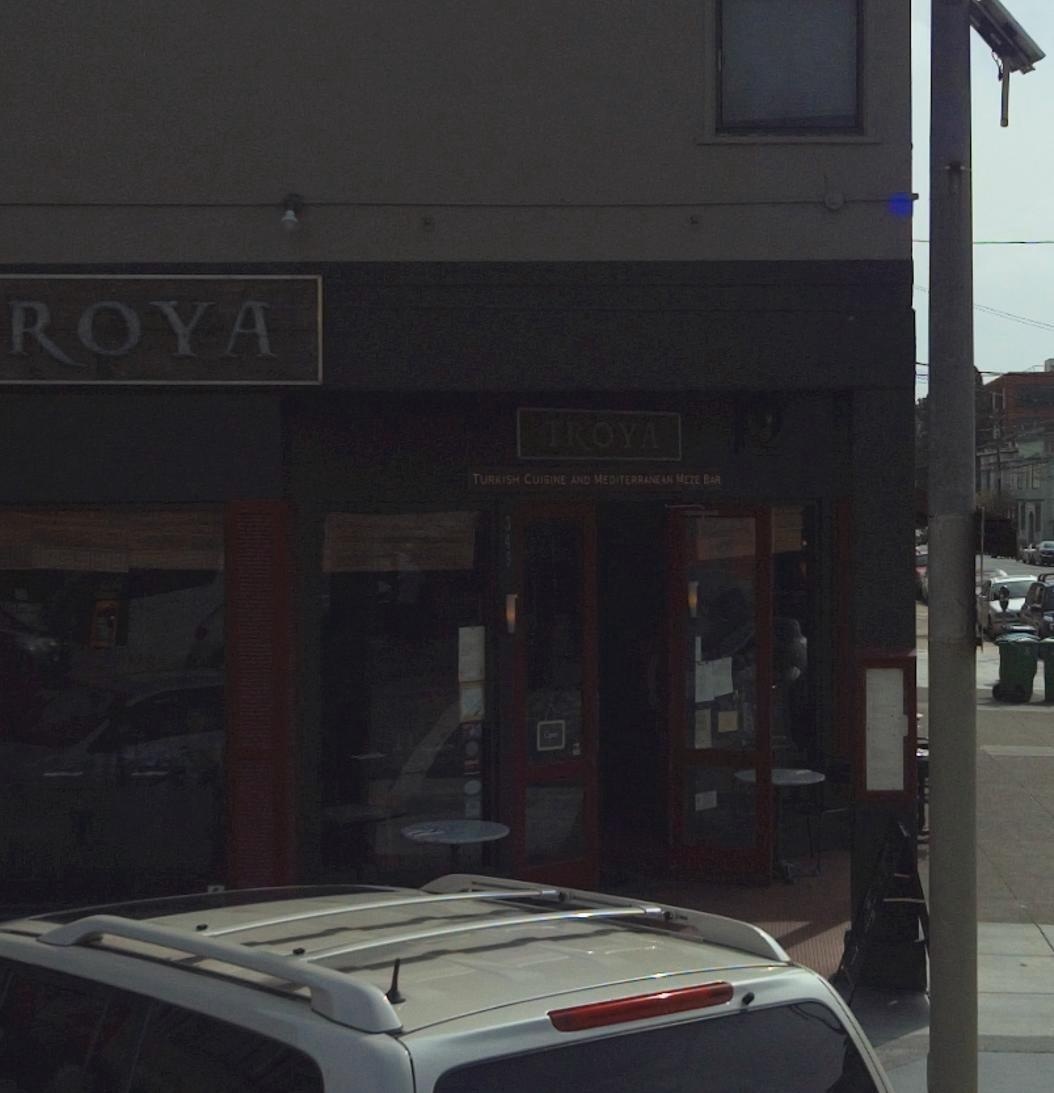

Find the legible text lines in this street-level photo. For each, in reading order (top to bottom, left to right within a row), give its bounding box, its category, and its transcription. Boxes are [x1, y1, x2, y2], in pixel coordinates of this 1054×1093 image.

[2, 298, 280, 370] BusinessName: ROYA
[541, 417, 661, 451] BusinessName: TROYA
[469, 471, 721, 486] BusinessName: TURKISH CUISINE AND MEDITERRANEAN MEZE BAR
[502, 513, 512, 567] StreetNumber: 349